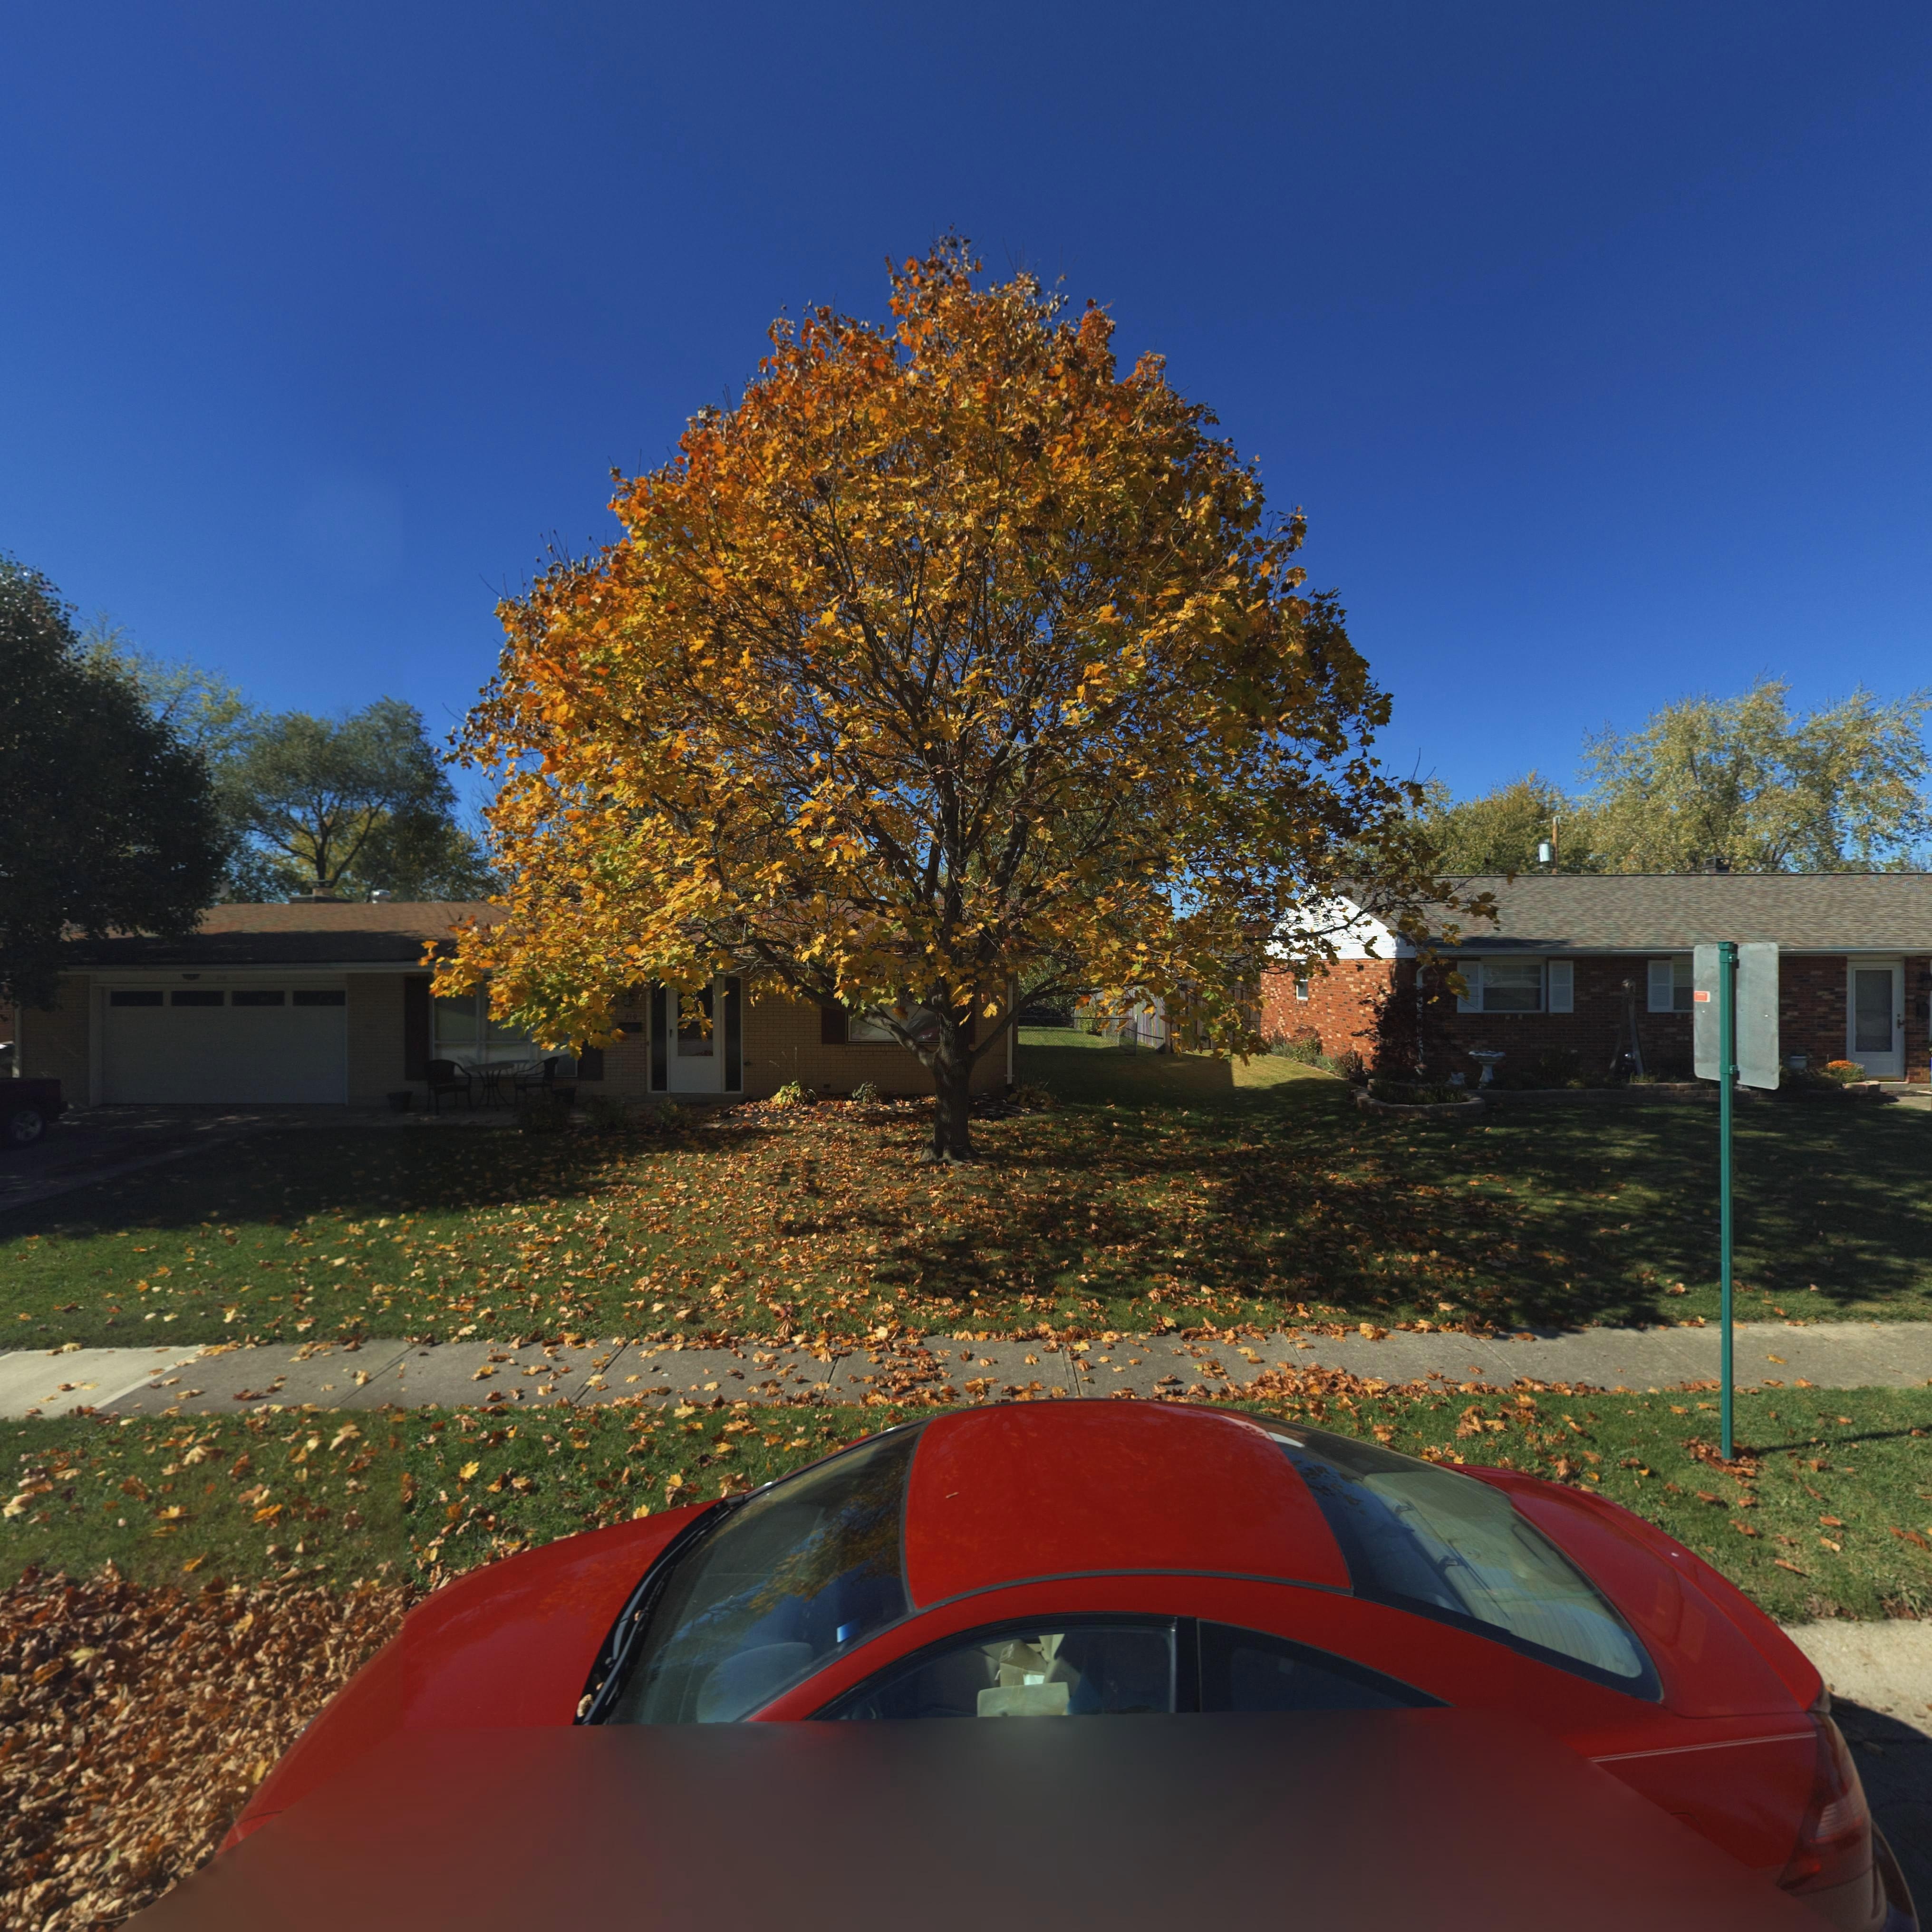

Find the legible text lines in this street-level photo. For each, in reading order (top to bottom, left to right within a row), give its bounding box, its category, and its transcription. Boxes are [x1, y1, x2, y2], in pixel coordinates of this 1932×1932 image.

[214, 974, 227, 982] StreetNumber: 310
[623, 1012, 638, 1020] StreetNumber: 310